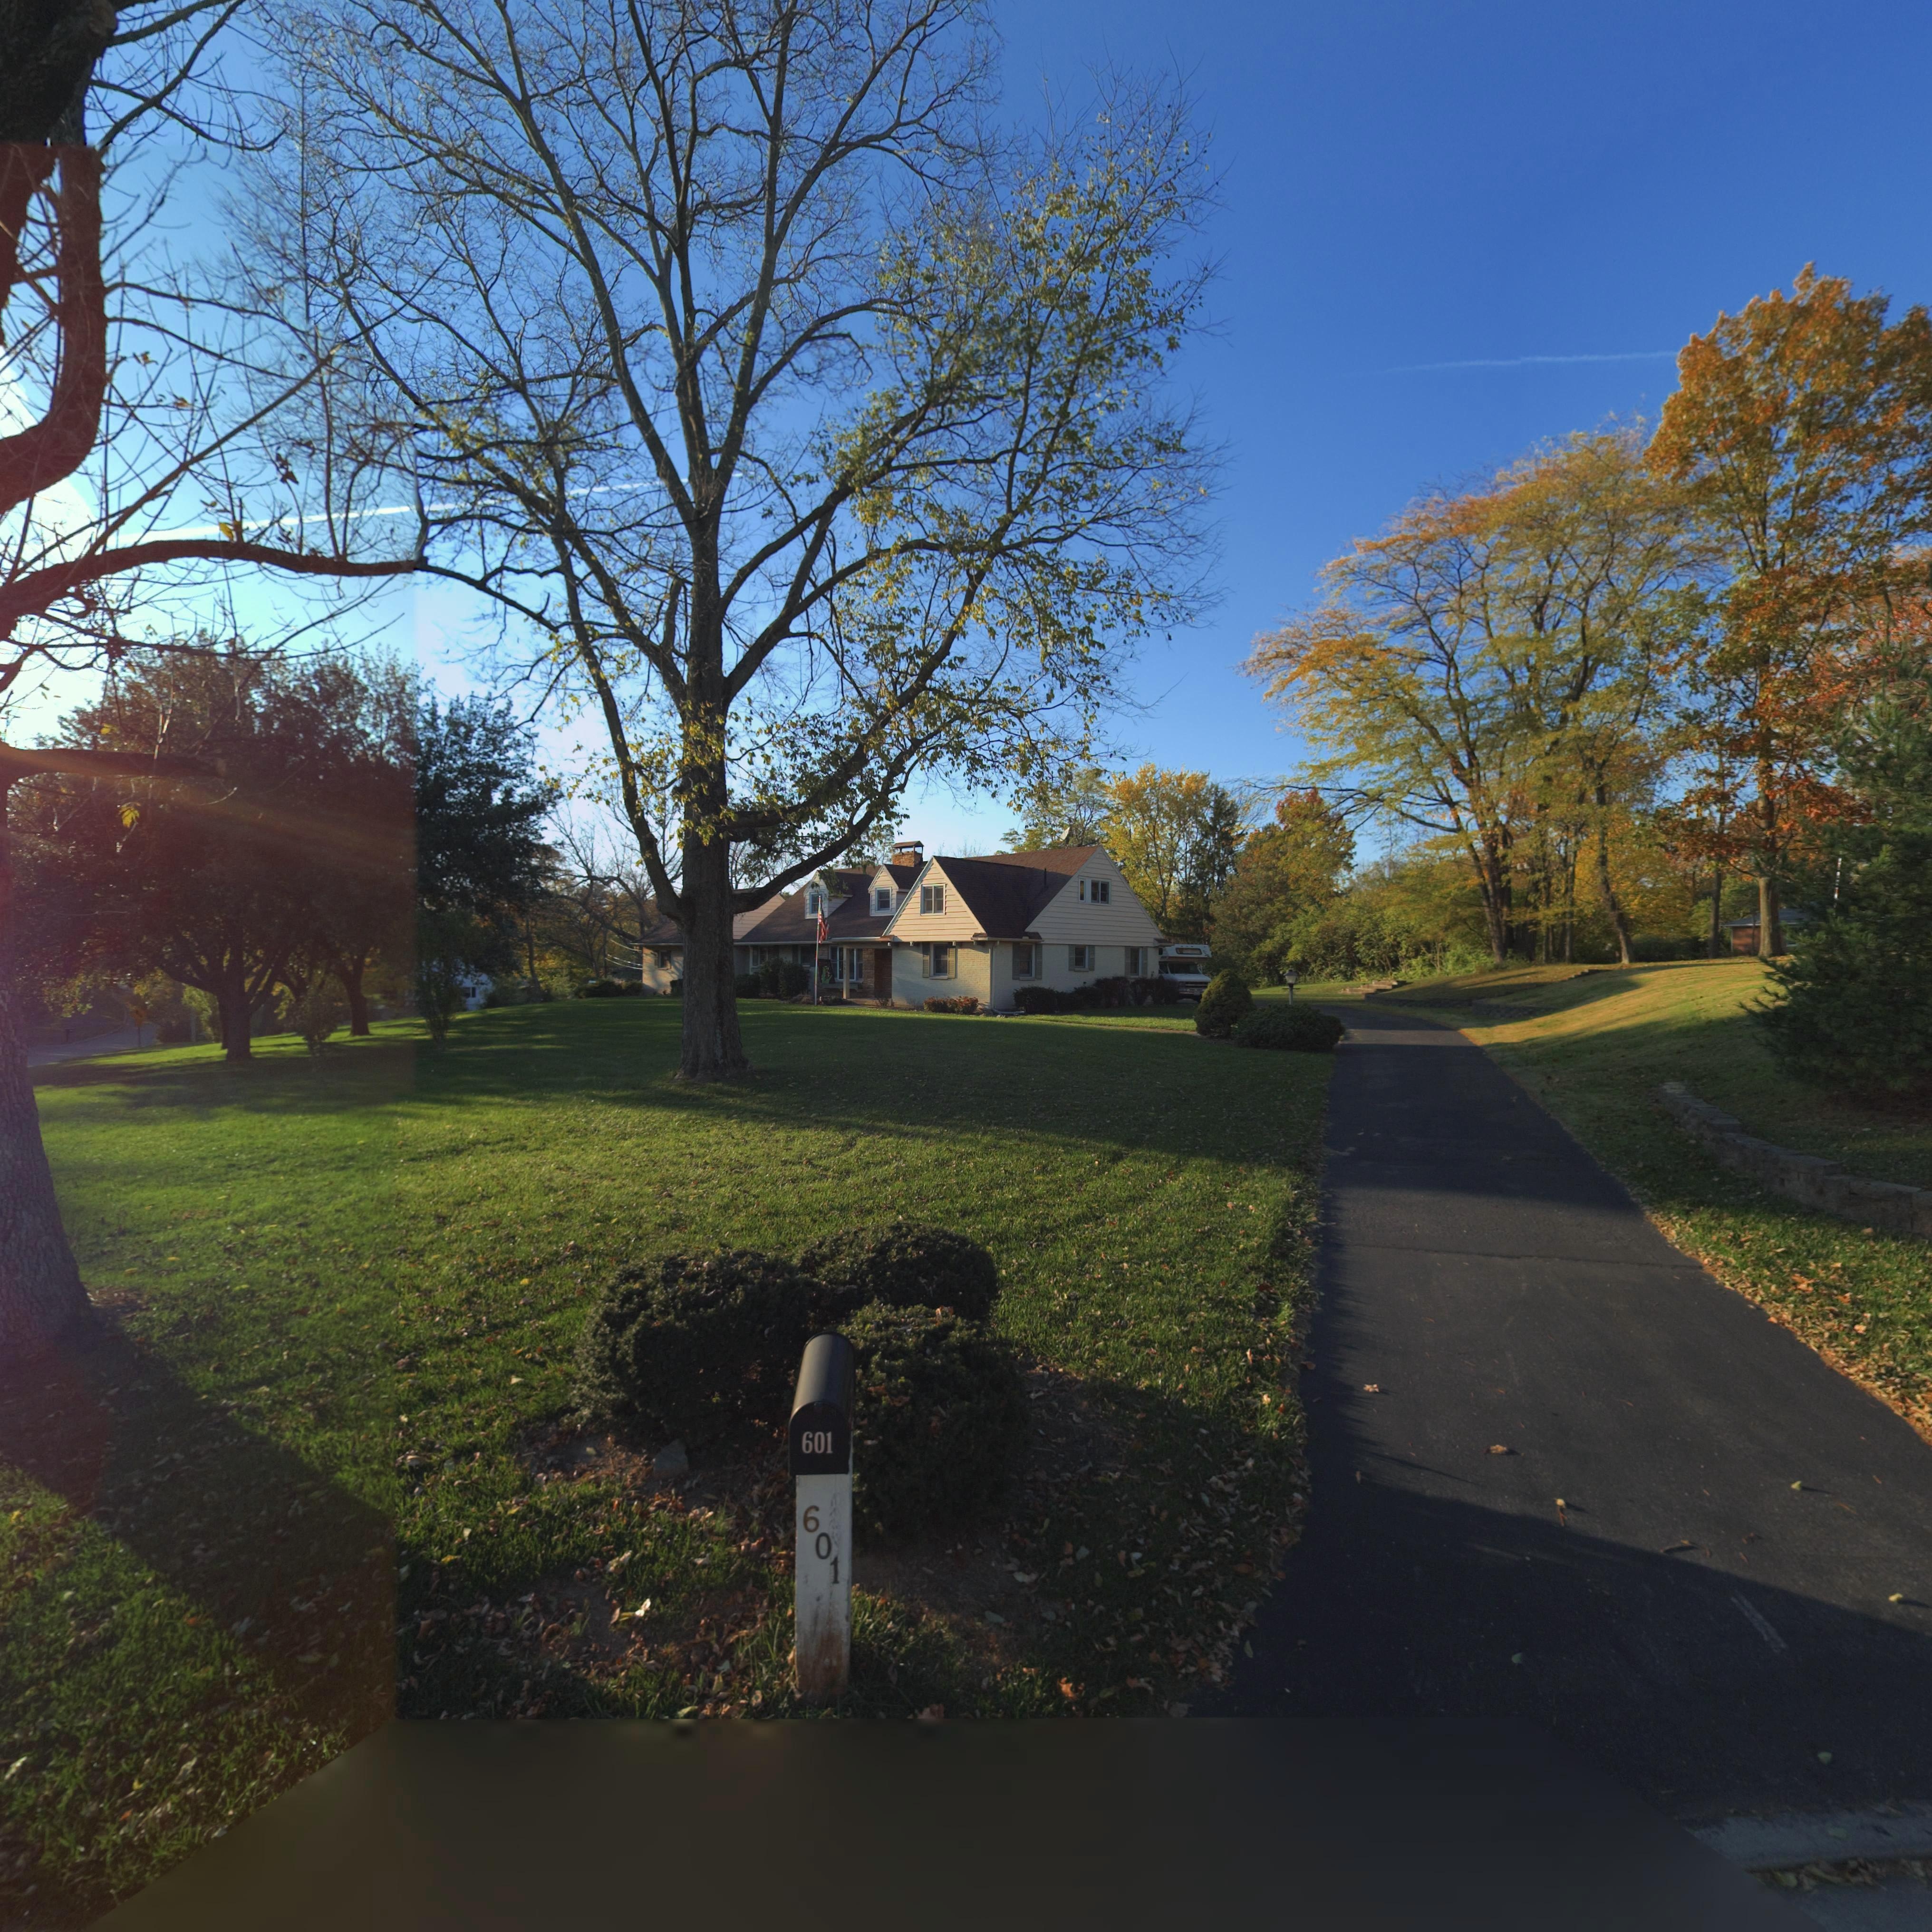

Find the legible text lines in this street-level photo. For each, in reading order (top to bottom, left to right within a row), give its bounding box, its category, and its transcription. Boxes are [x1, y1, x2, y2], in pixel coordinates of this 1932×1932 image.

[800, 1430, 834, 1455] StreetNumber: 601
[802, 1504, 840, 1584] StreetNumber: 601